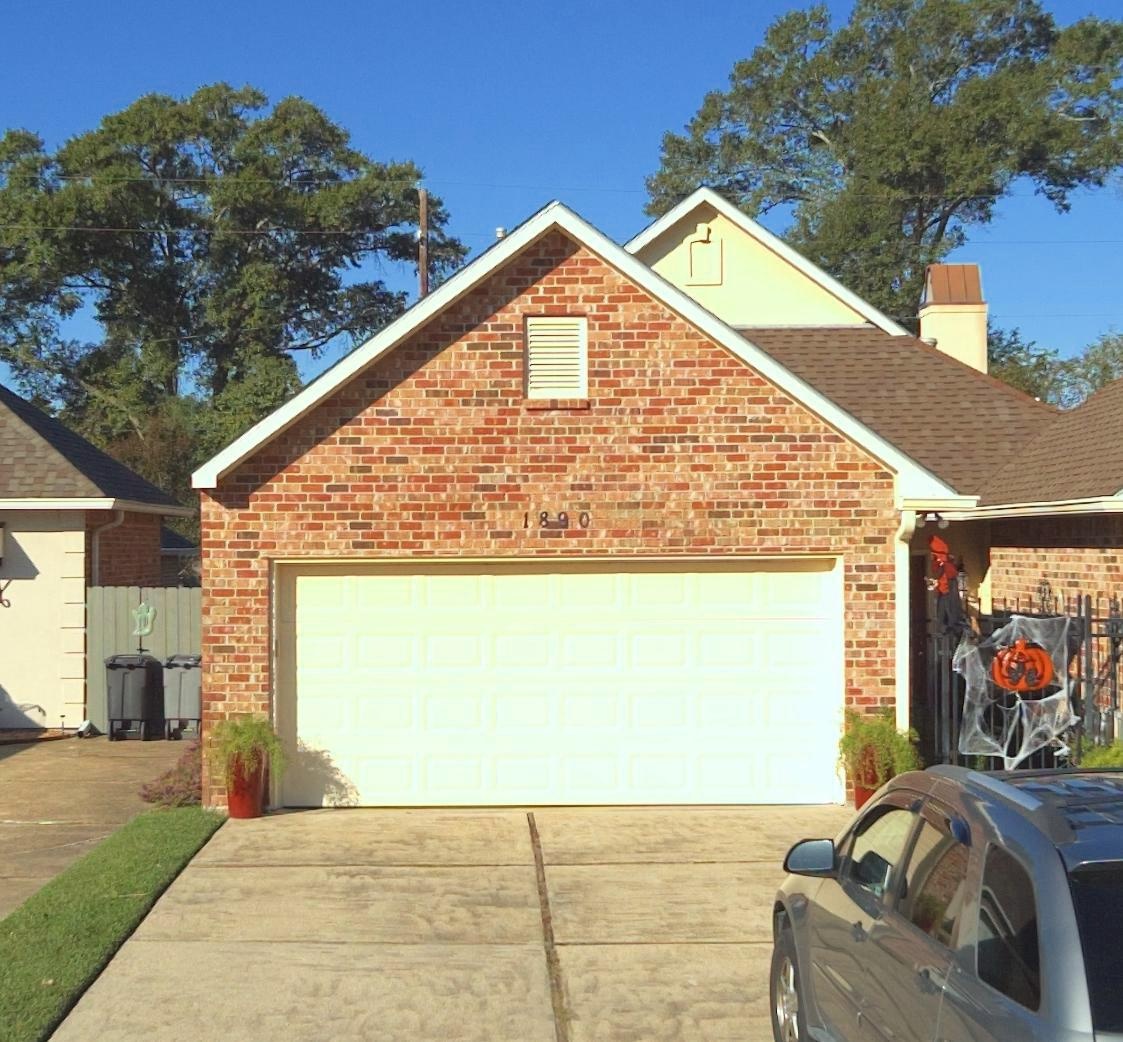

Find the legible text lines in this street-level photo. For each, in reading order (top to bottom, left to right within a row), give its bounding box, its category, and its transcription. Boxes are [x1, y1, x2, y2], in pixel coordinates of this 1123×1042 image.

[521, 509, 591, 531] StreetNumber: 1890